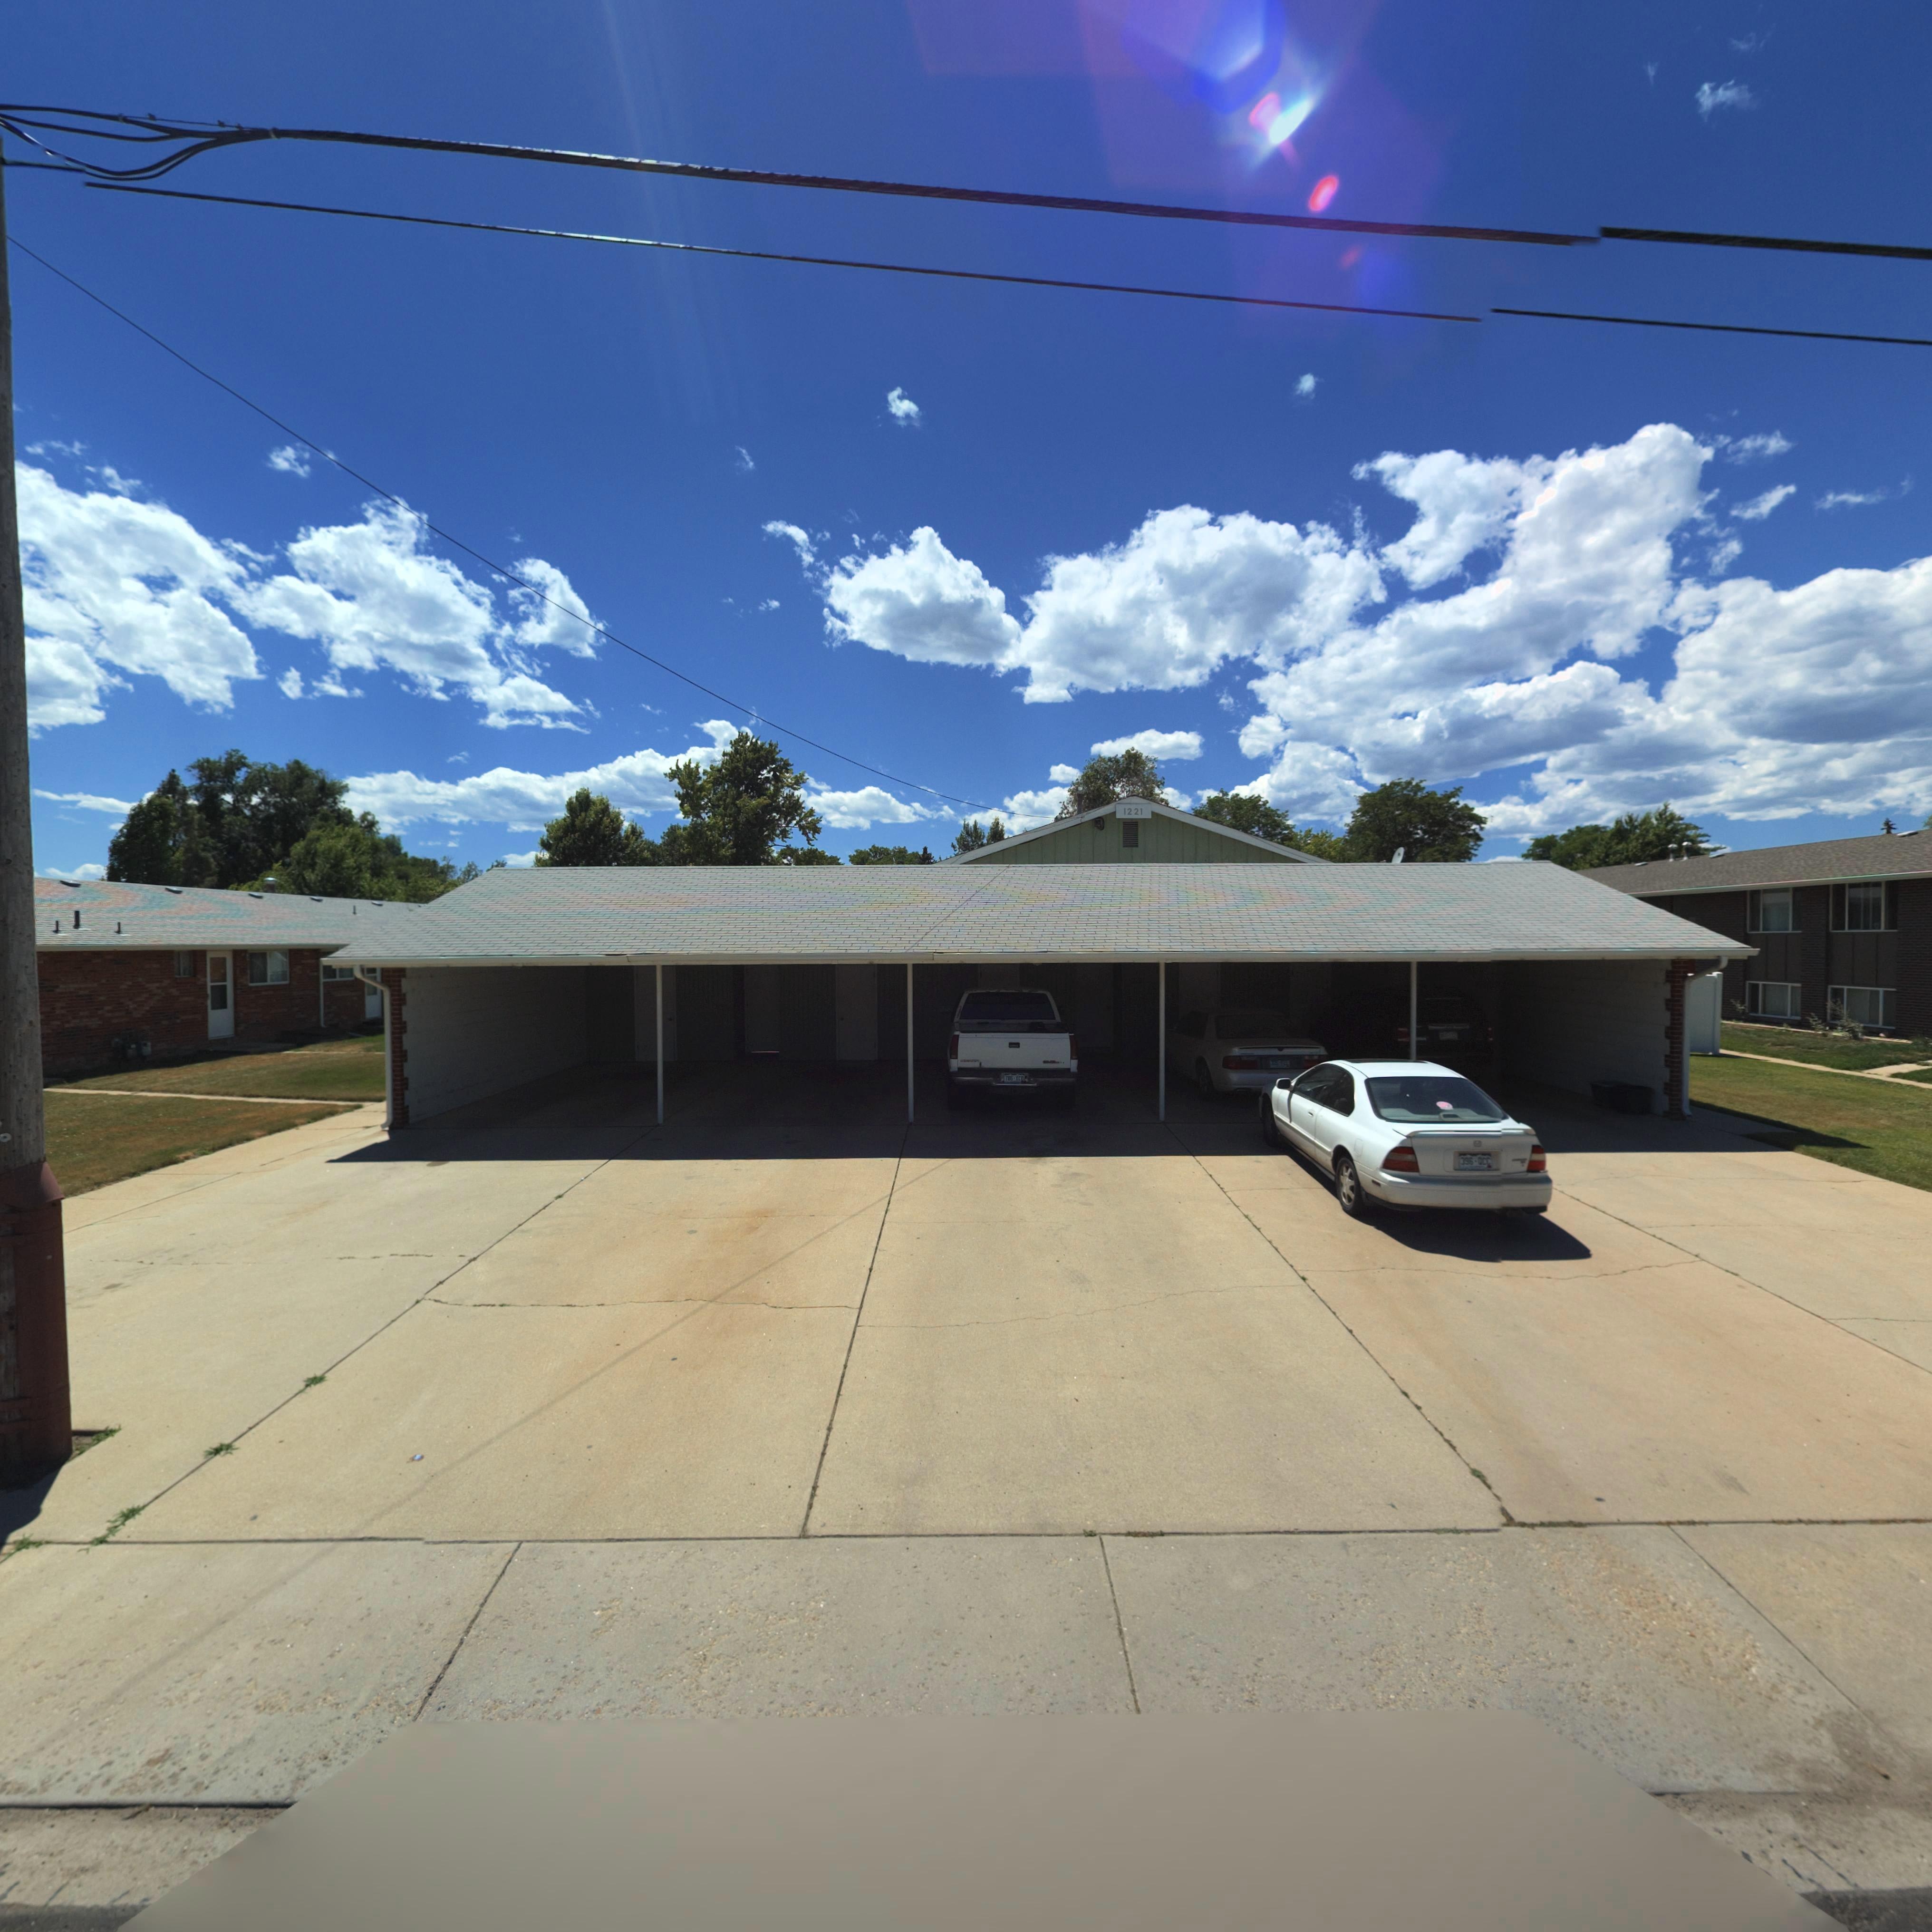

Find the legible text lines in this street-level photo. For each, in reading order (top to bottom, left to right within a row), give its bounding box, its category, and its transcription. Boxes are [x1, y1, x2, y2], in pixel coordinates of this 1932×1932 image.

[1124, 808, 1143, 815] StreetNumber: 1221